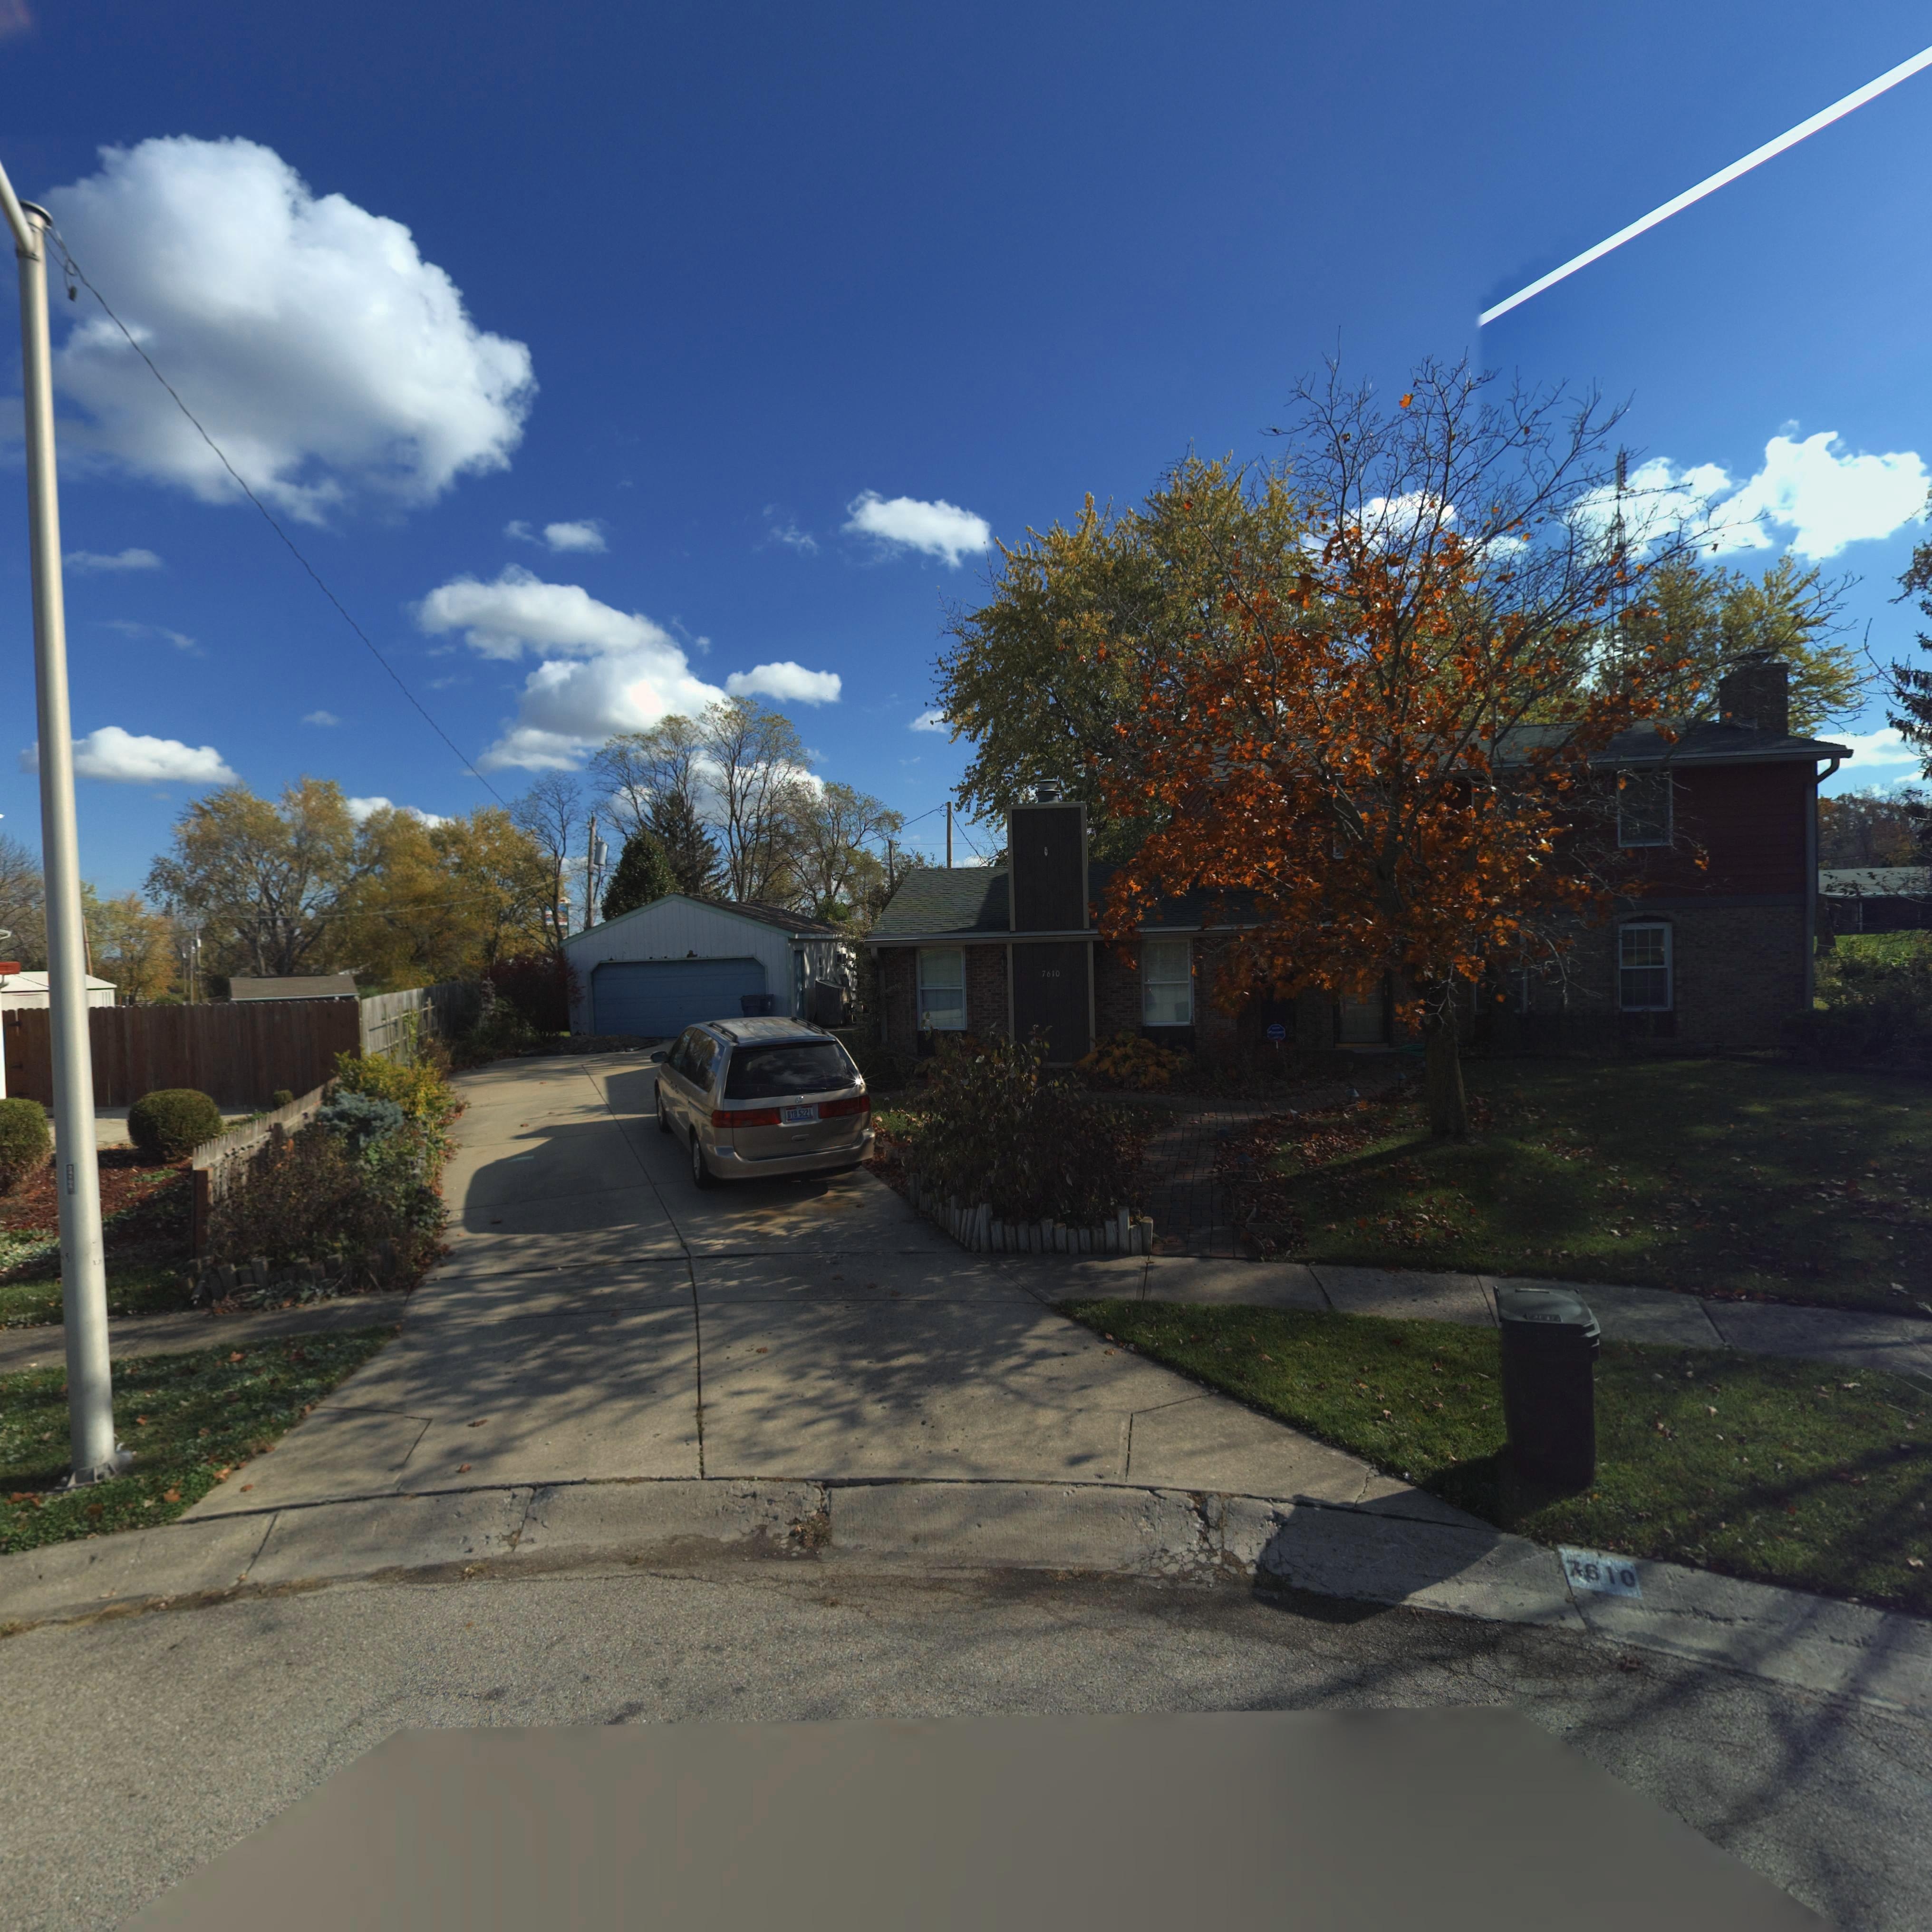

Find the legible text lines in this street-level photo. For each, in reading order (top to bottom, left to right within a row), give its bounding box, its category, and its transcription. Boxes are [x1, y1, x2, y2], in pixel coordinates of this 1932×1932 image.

[1041, 969, 1061, 978] StreetNumber: 7610
[1564, 1557, 1638, 1590] StreetNumber: 7610